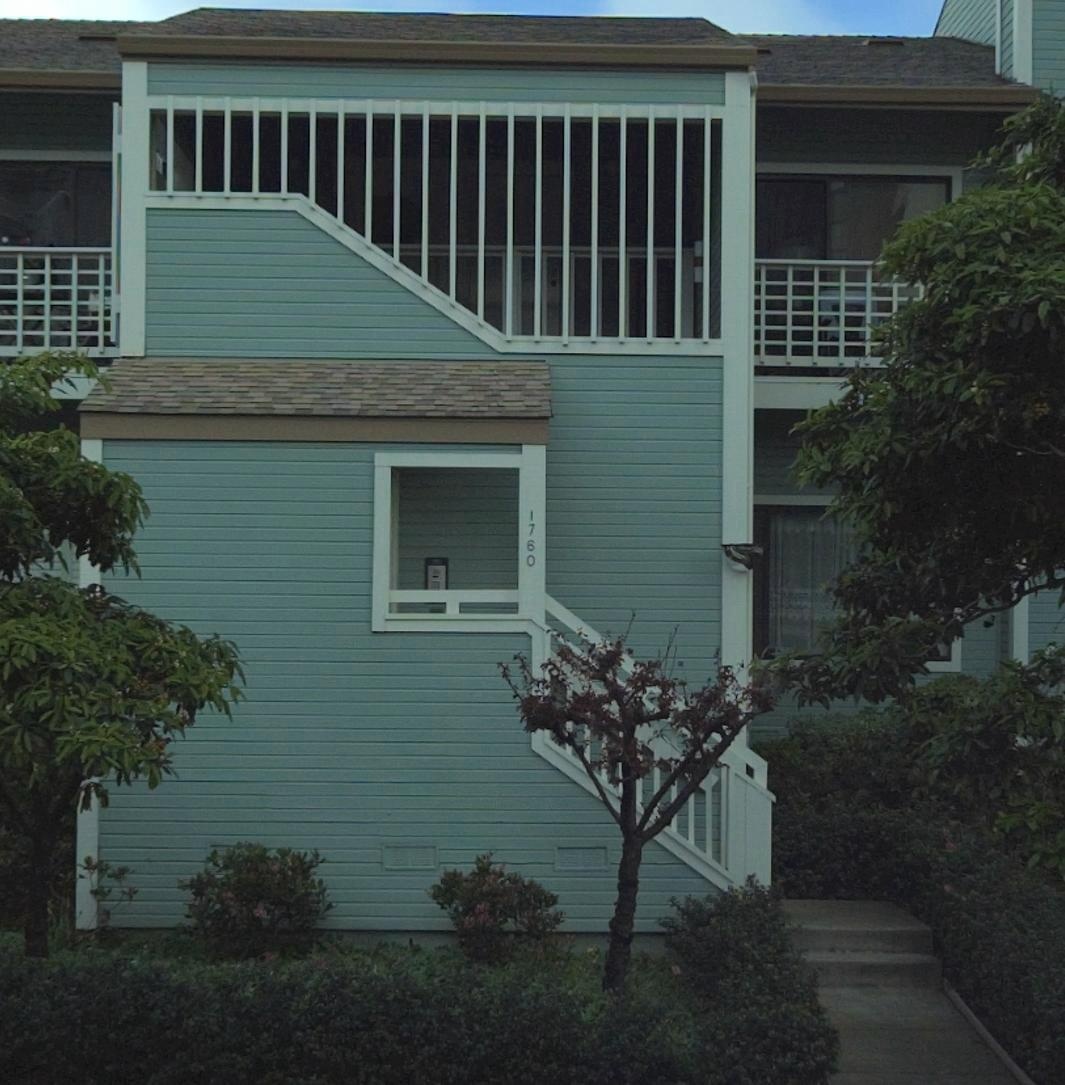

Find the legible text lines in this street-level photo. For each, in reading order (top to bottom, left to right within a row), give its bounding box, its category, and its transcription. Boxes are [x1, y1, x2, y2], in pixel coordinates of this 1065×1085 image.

[524, 507, 538, 569] StreetNumber: 1760